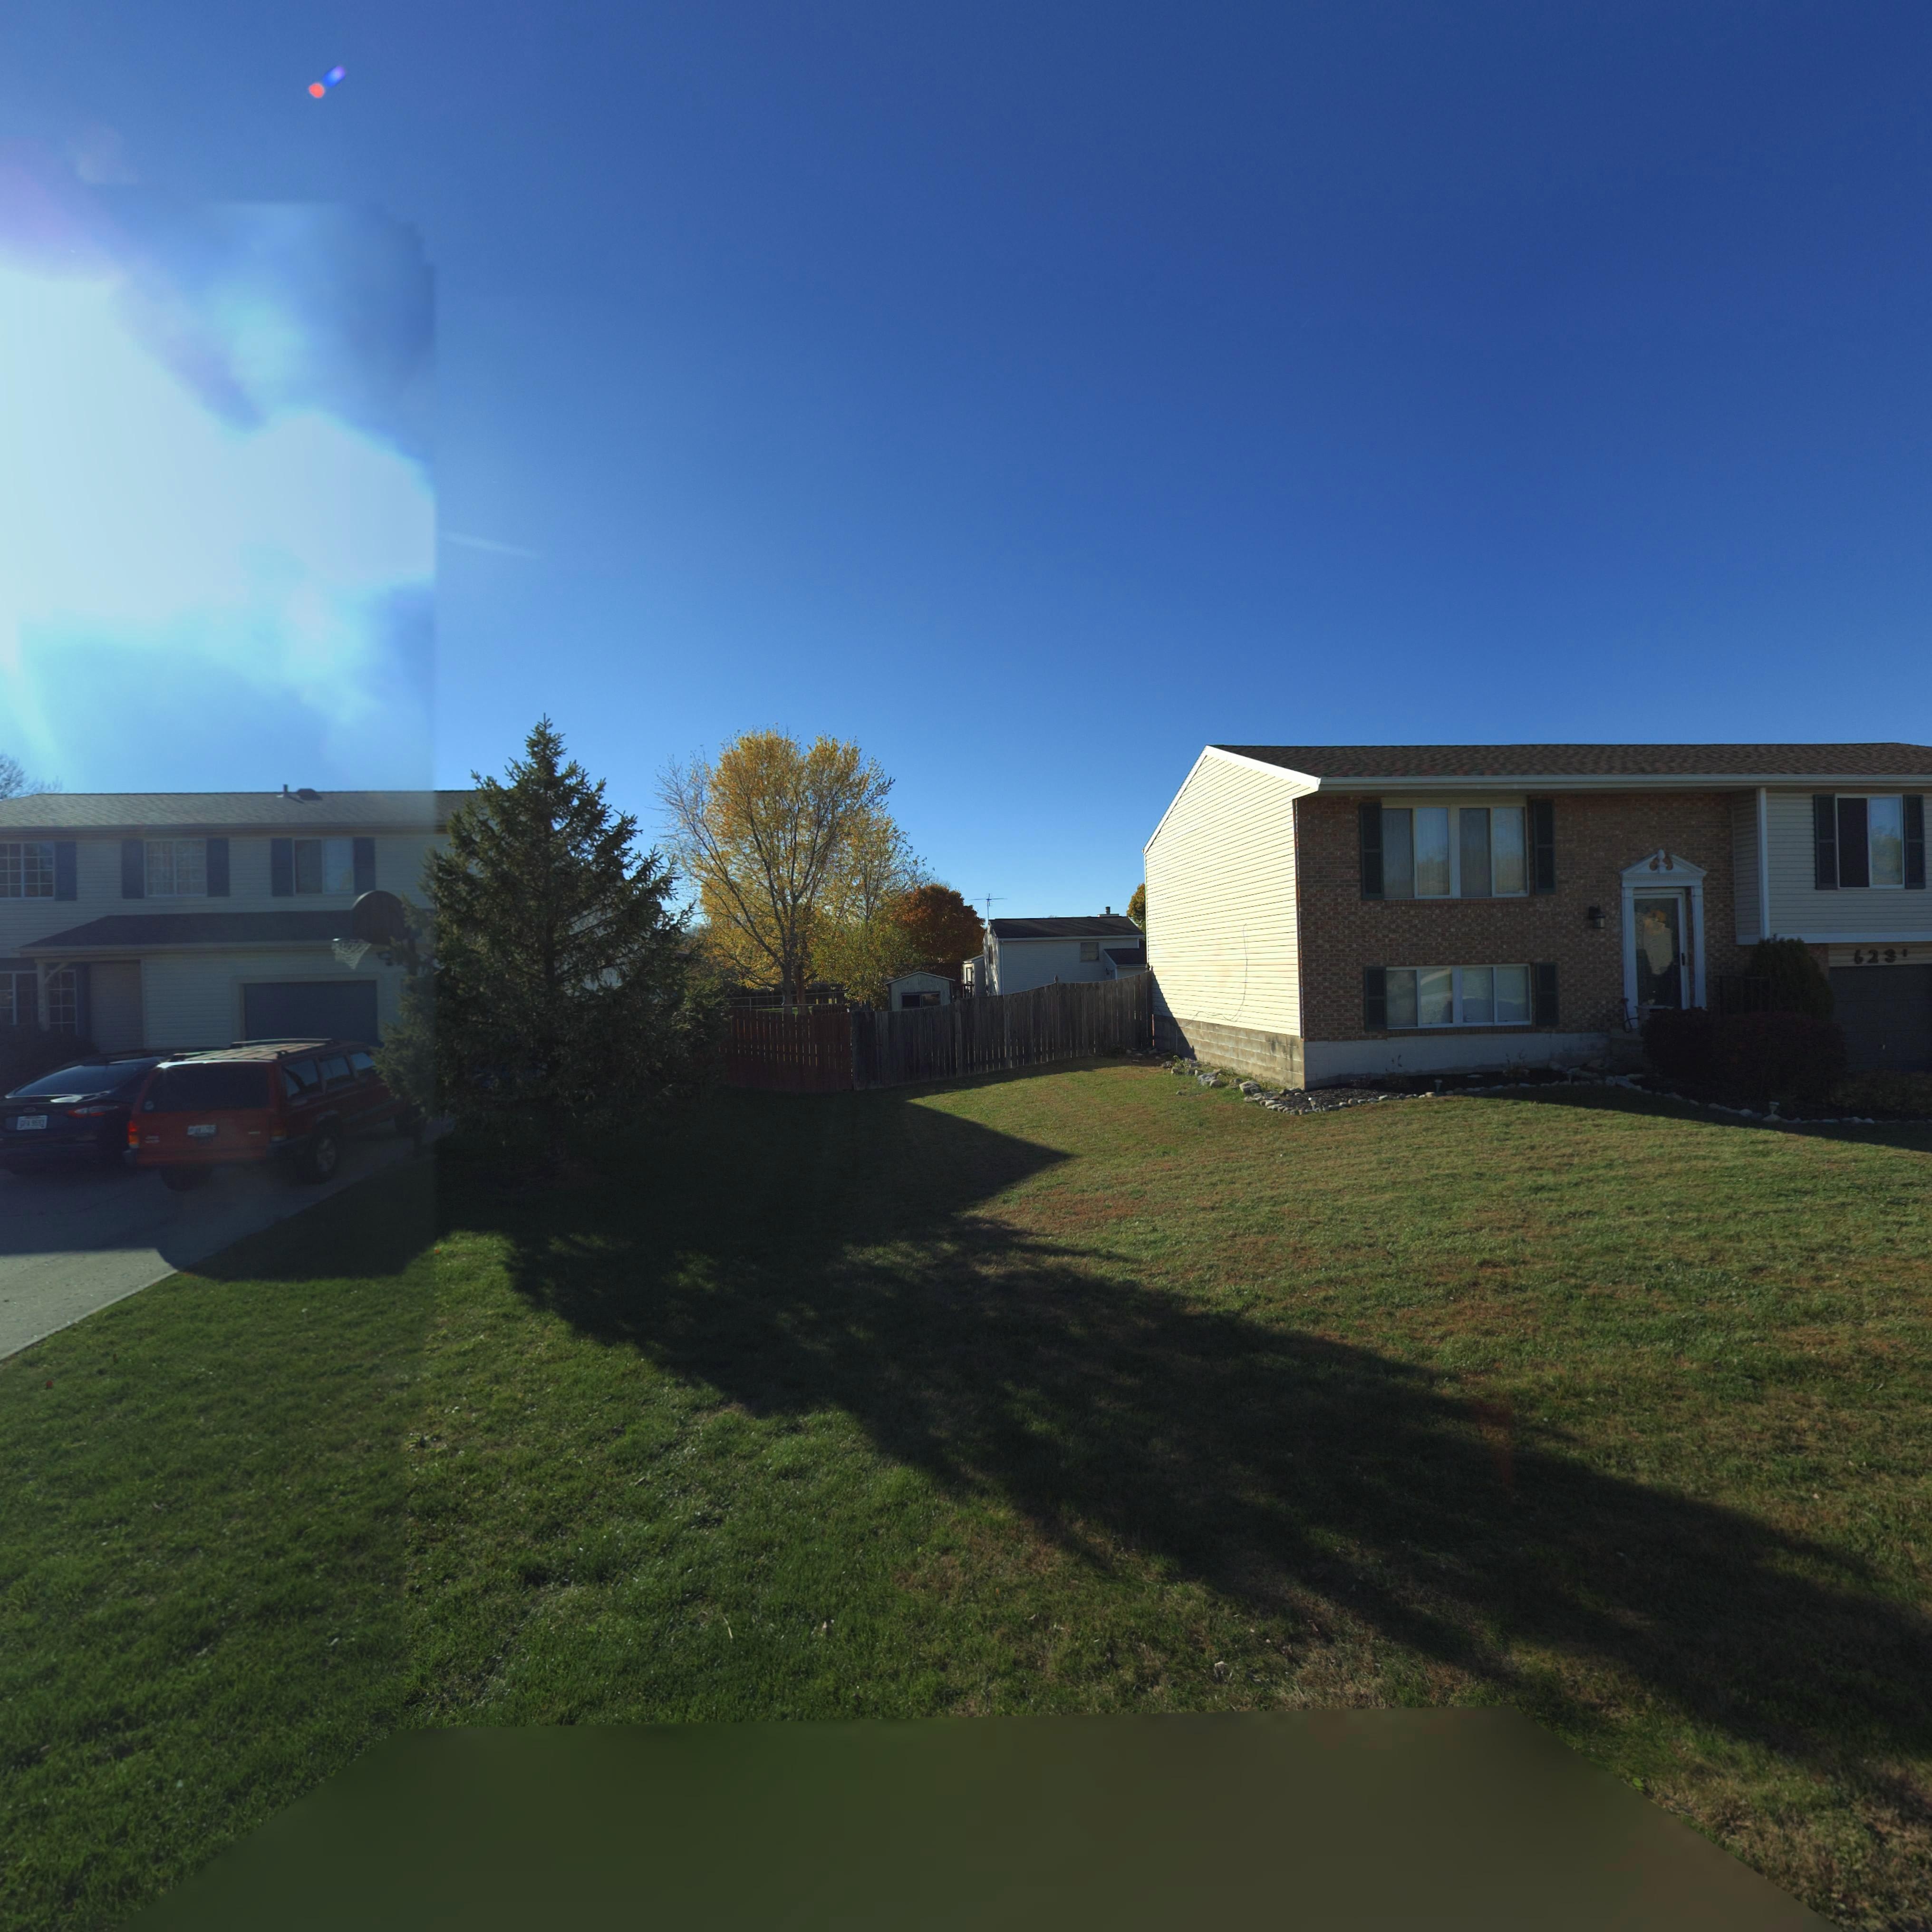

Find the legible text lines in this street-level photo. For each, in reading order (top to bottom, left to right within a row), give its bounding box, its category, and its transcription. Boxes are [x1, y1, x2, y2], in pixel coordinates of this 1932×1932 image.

[1853, 947, 1909, 966] StreetNumber: 623*